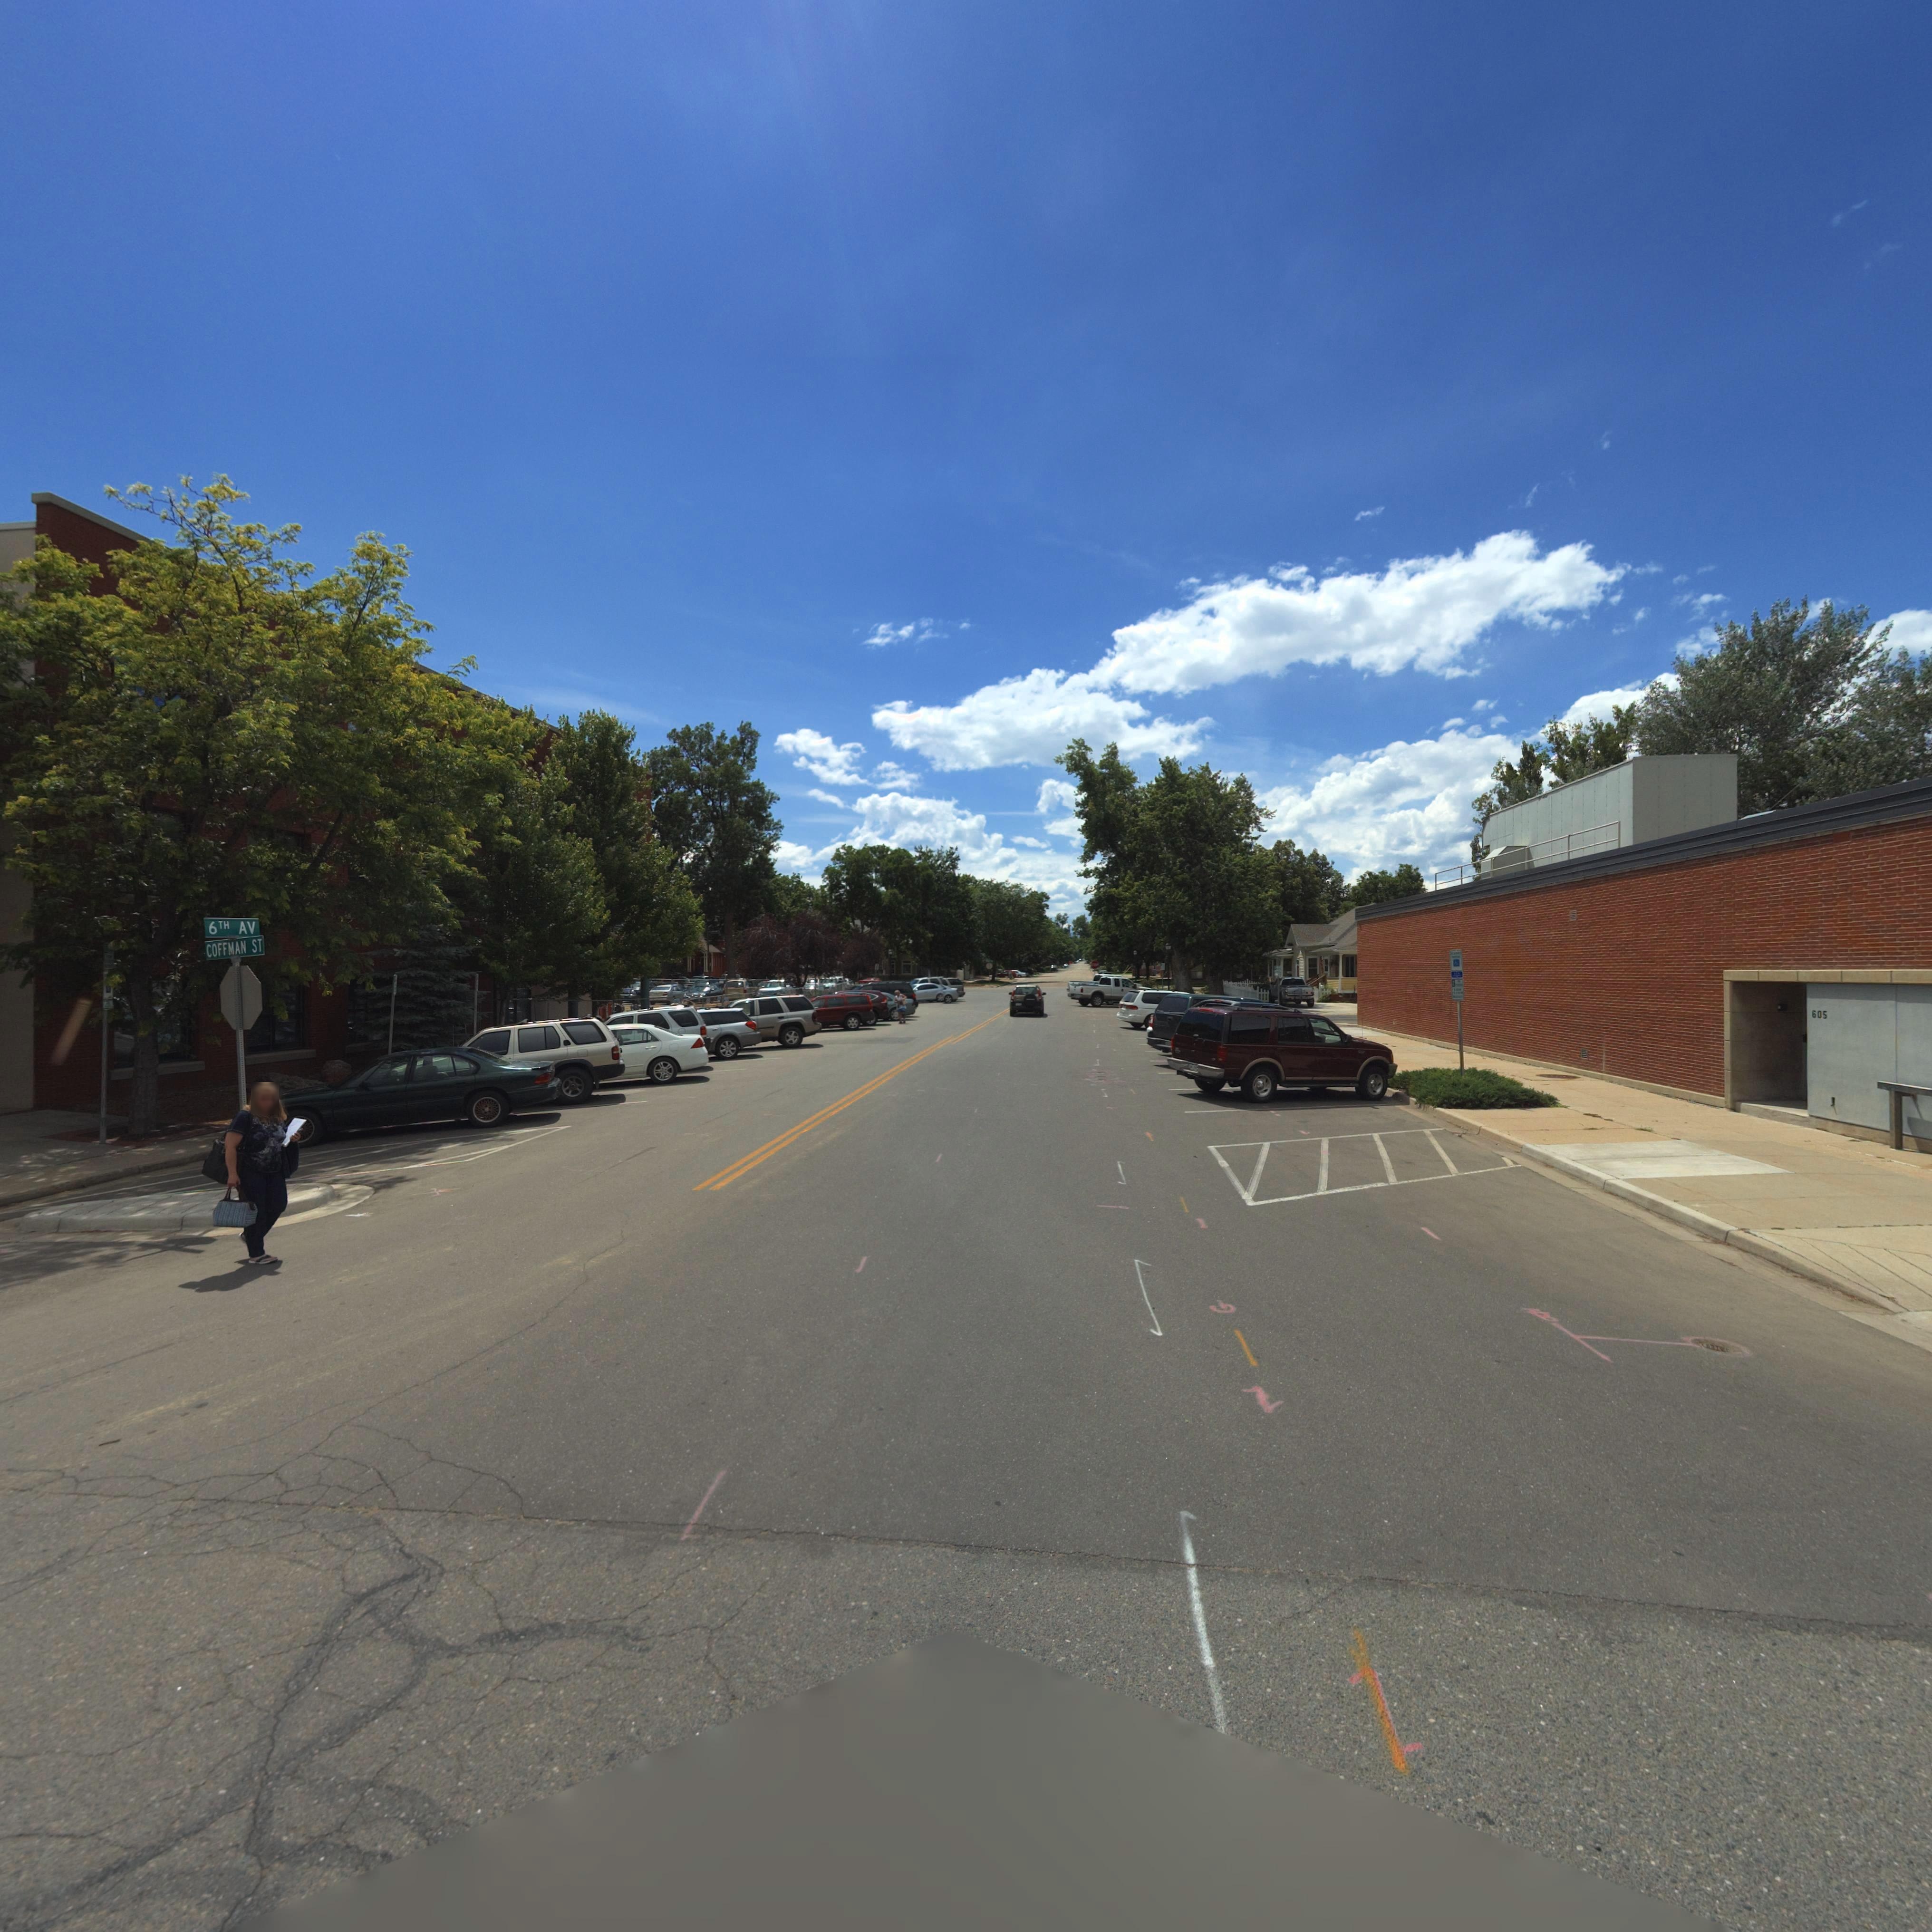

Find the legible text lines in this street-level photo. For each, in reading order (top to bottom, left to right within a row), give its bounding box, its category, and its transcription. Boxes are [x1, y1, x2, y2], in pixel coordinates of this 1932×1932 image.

[207, 920, 256, 935] StreetName: 6th AV
[205, 937, 263, 958] StreetName: COFFMAN ST
[1811, 1009, 1828, 1019] StreetNumber: 605